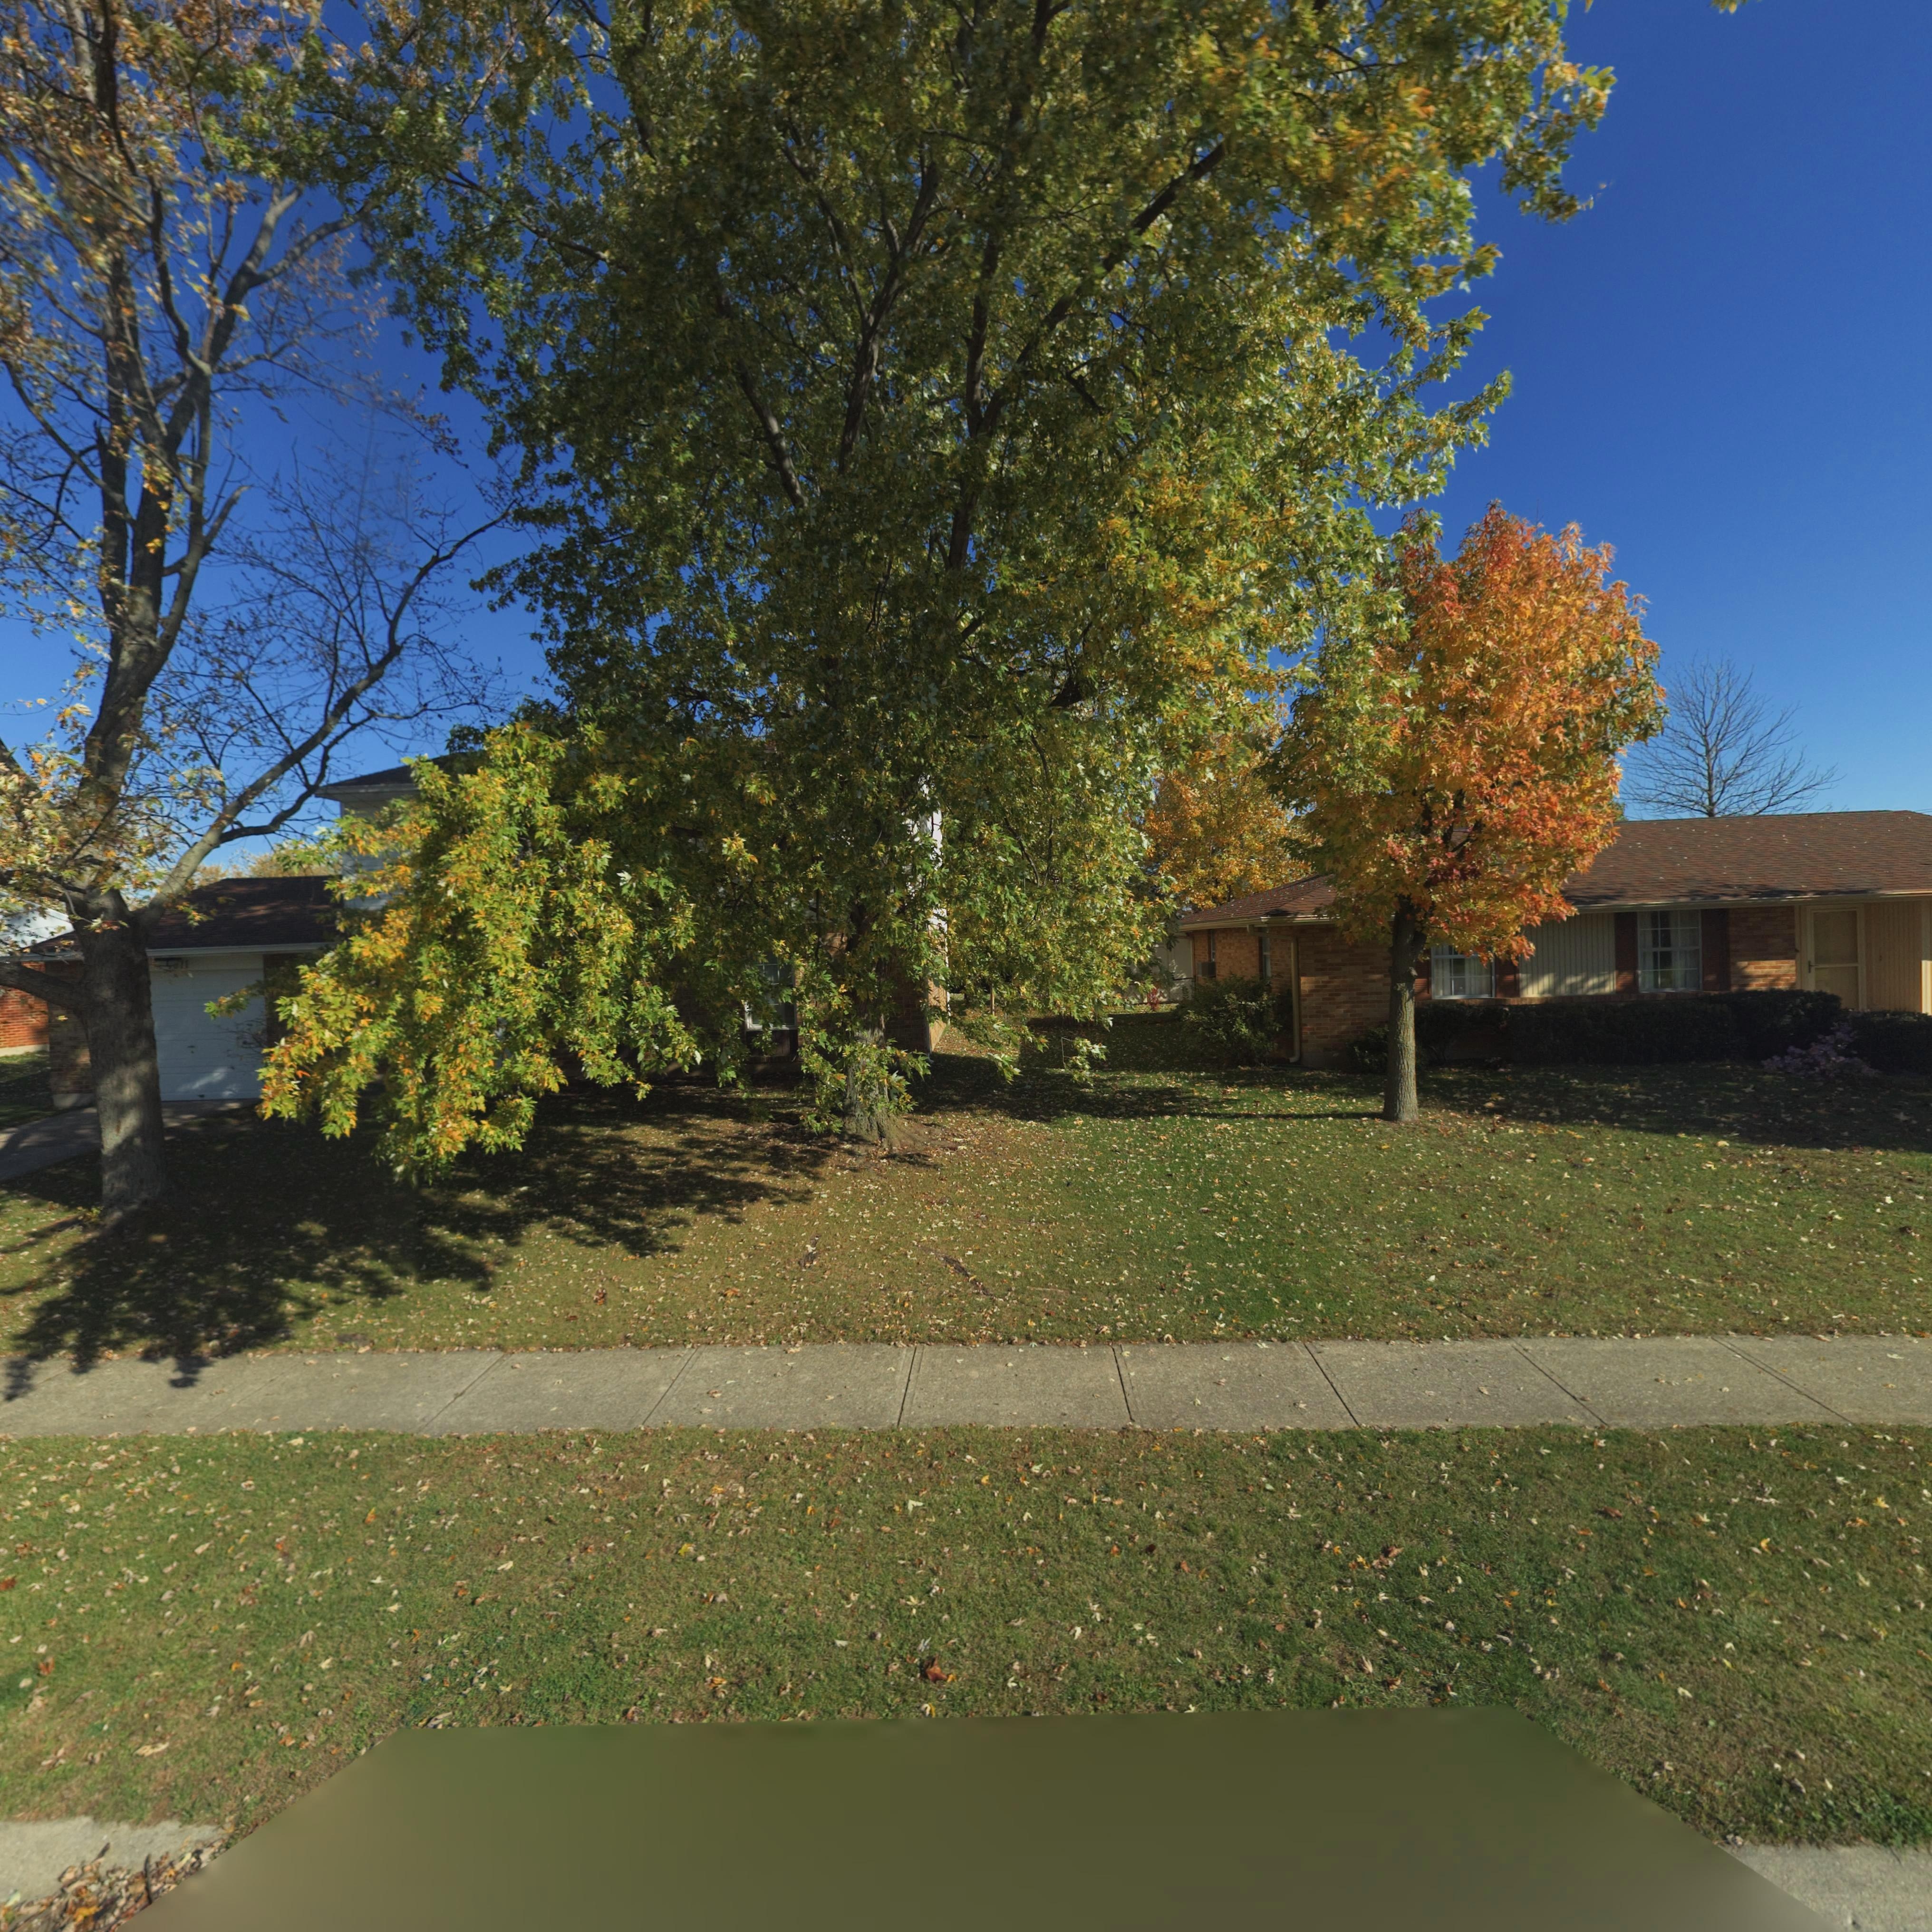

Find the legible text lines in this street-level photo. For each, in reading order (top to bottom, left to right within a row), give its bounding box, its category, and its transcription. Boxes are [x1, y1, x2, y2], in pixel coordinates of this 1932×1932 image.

[180, 958, 190, 970] StreetNumber: 11